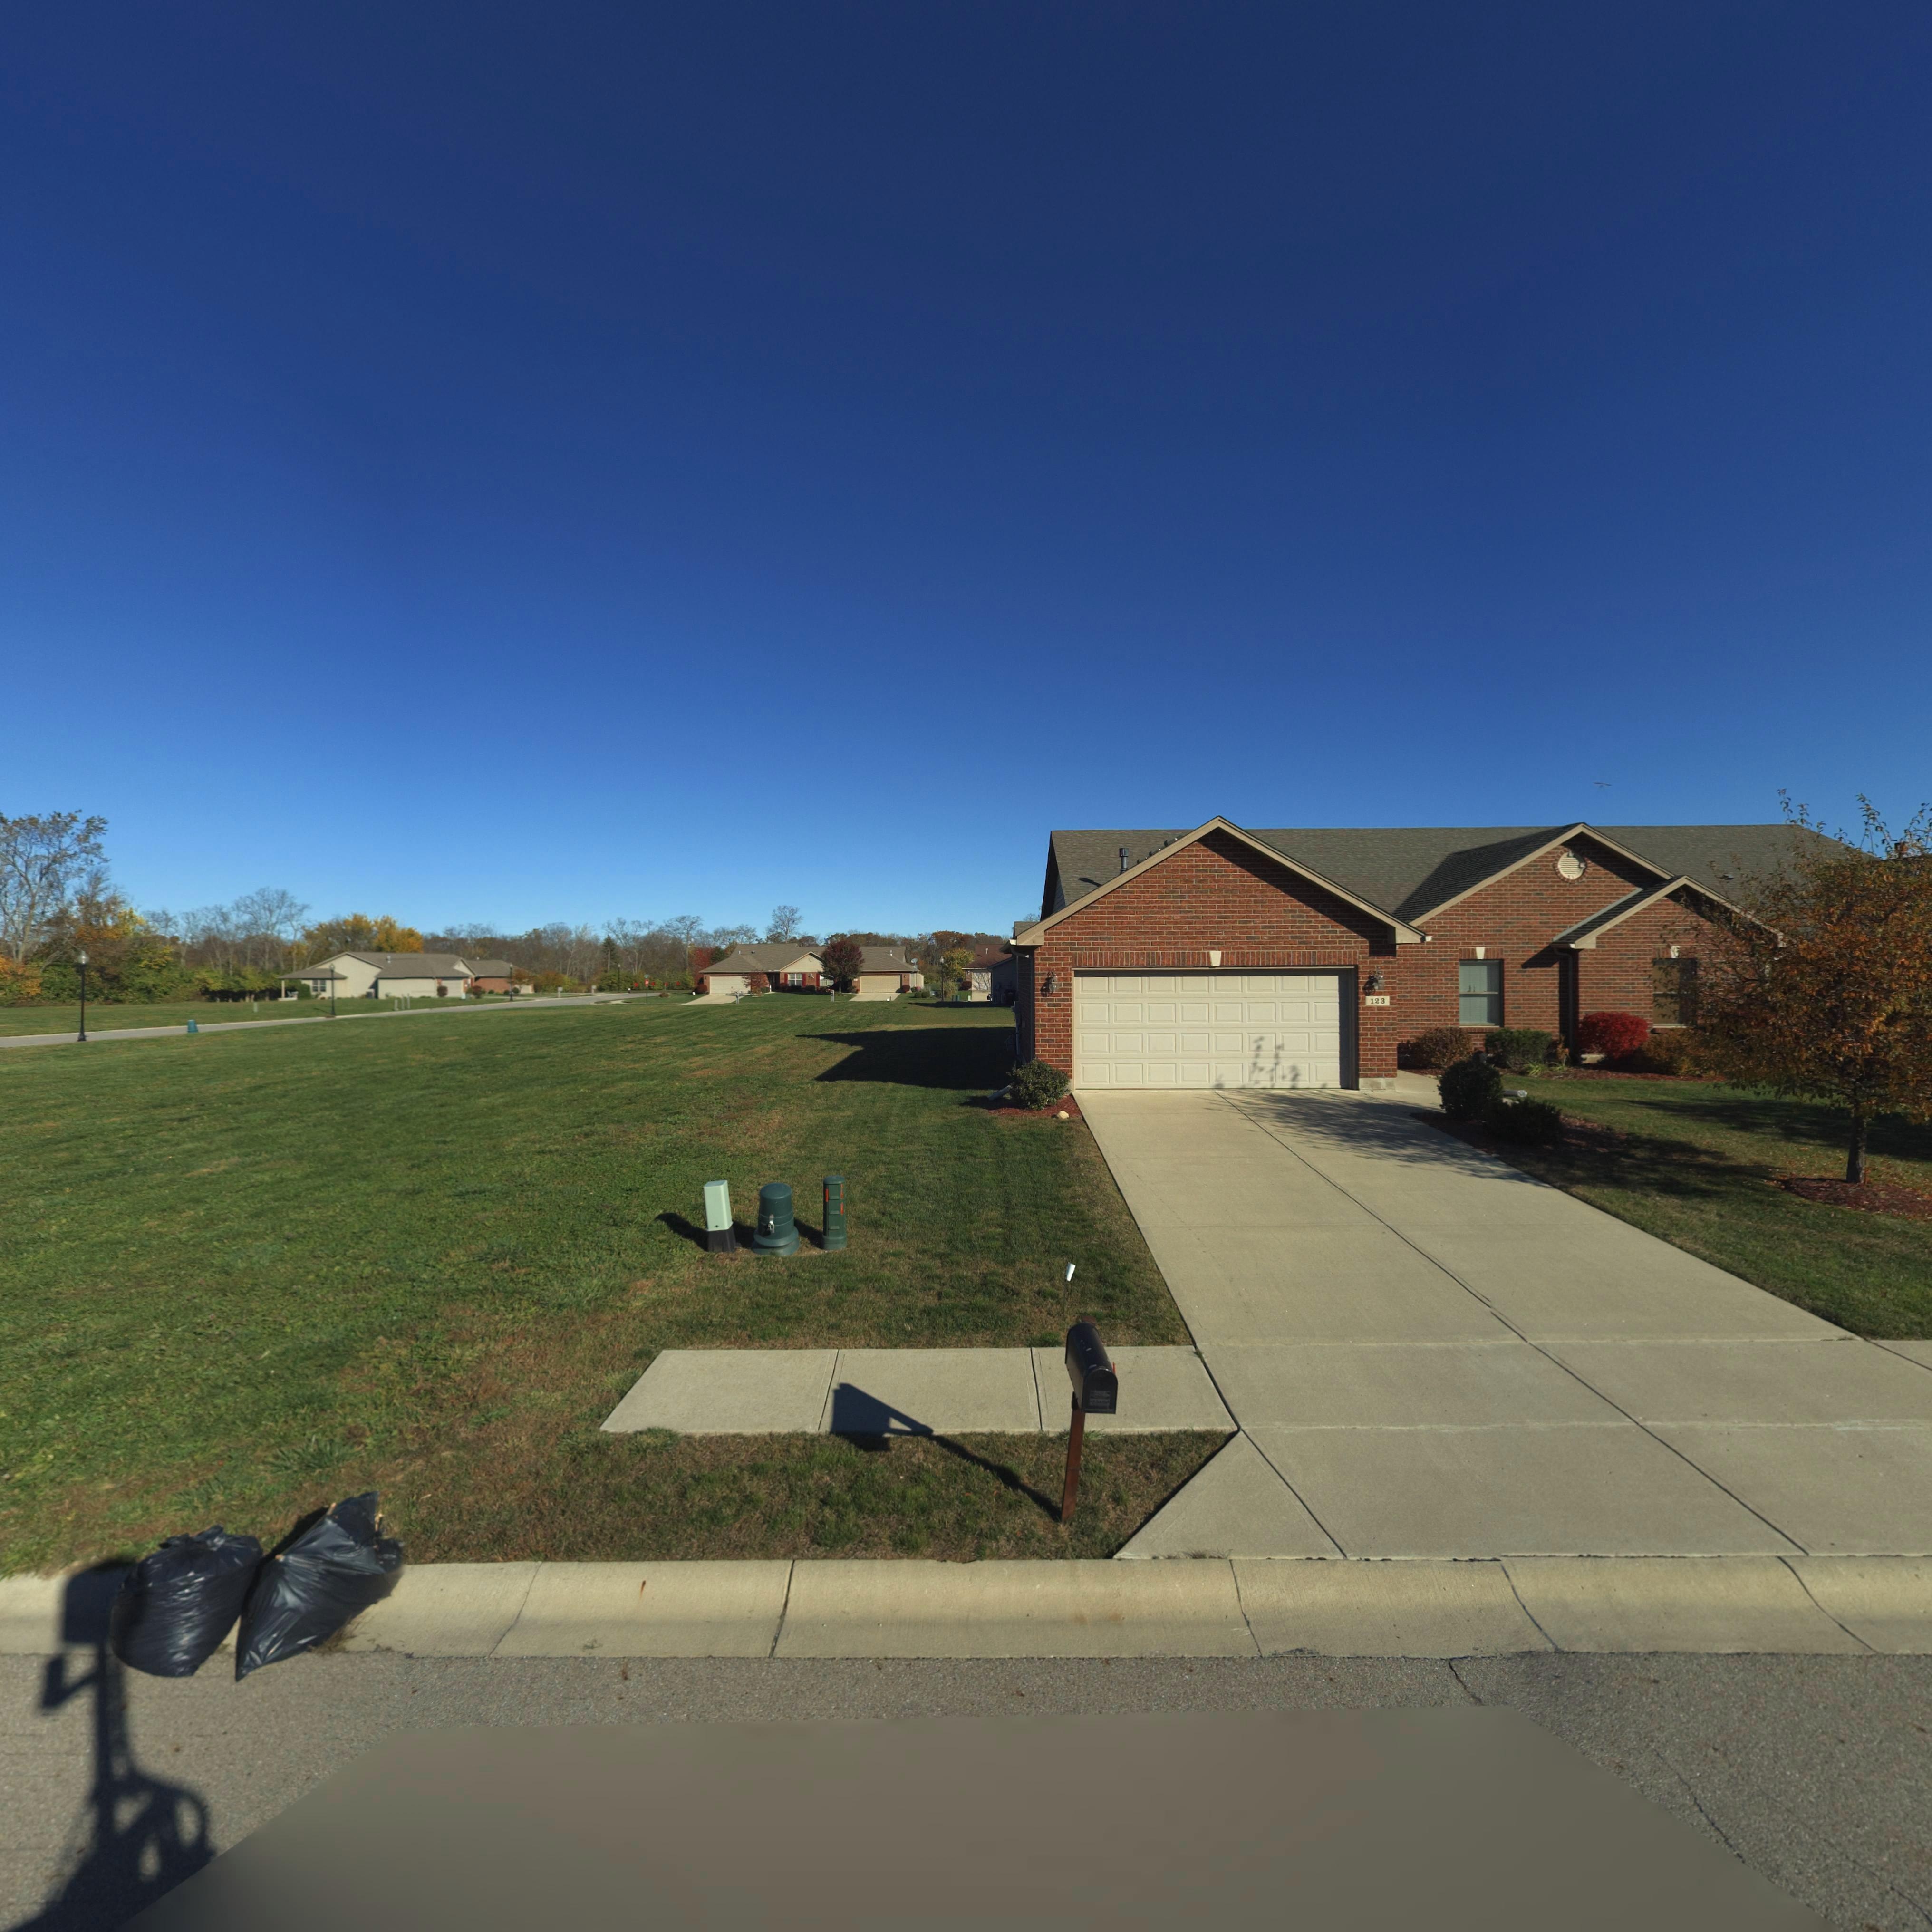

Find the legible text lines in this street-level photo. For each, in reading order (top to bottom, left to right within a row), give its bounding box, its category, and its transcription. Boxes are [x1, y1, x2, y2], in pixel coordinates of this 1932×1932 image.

[1370, 997, 1385, 1005] StreetNumber: 123